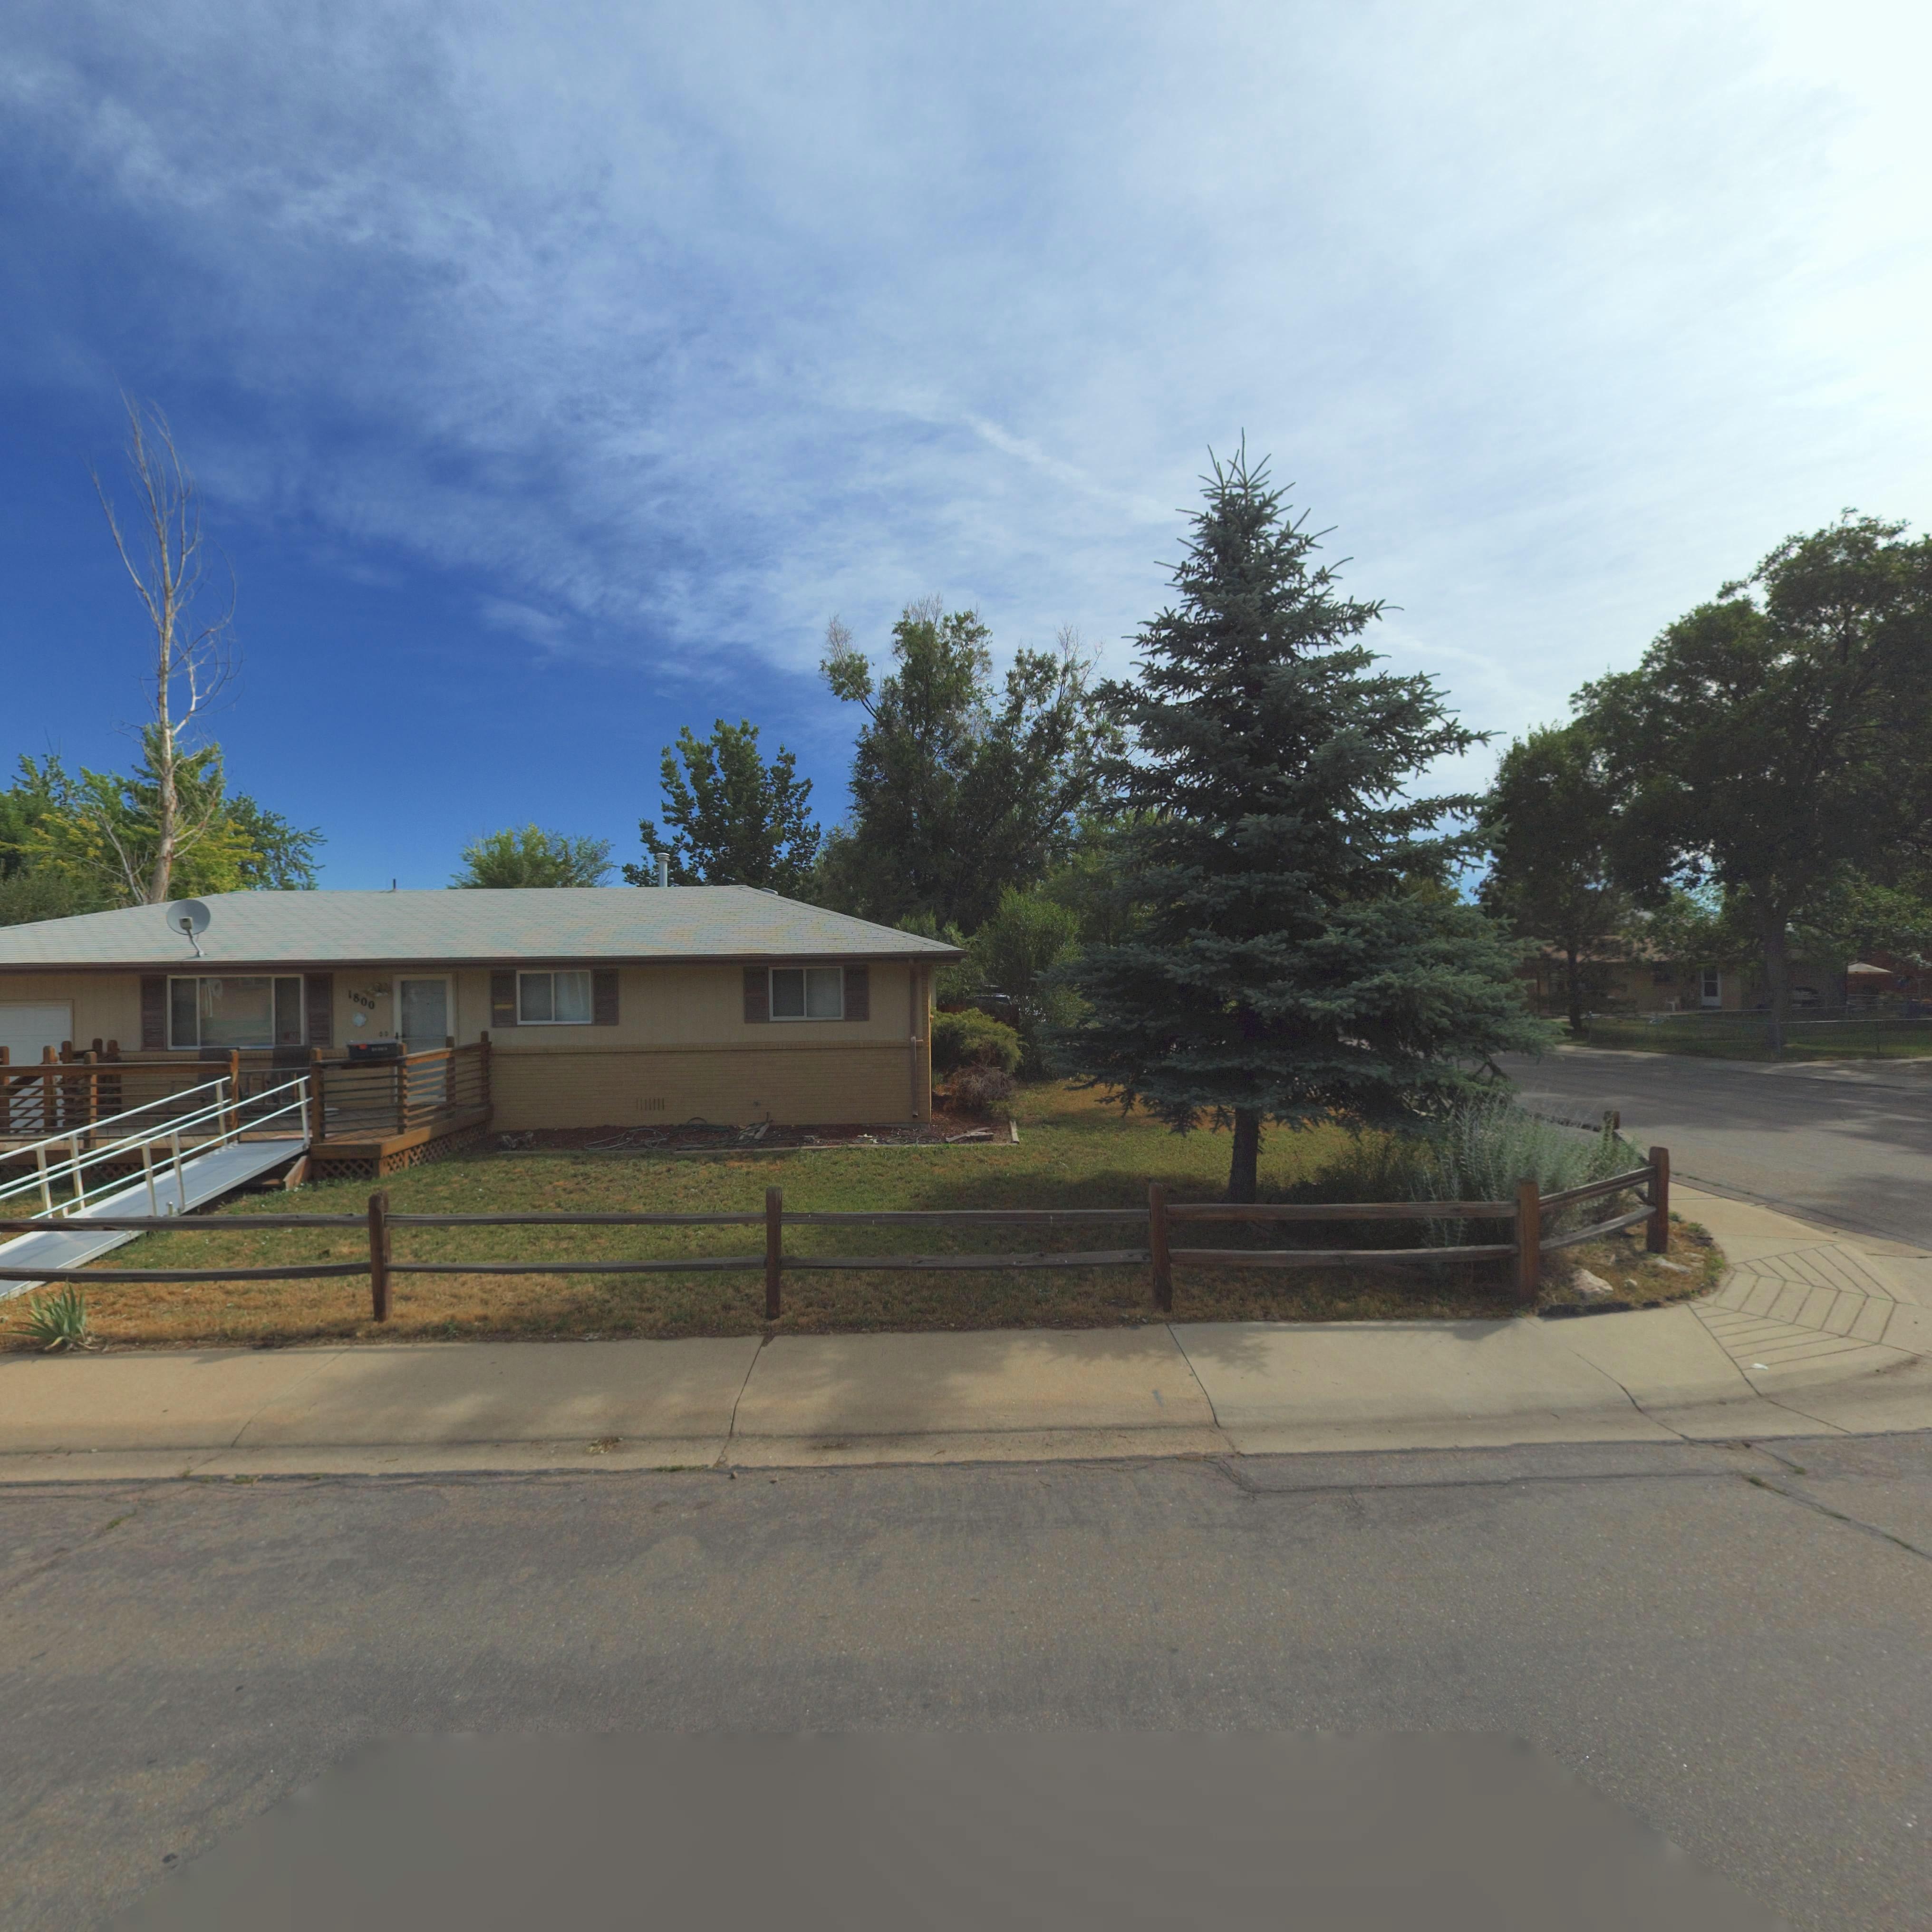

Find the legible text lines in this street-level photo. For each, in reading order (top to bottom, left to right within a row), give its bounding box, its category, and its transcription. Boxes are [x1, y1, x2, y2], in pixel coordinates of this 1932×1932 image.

[348, 989, 375, 1010] StreetNumber: 1800